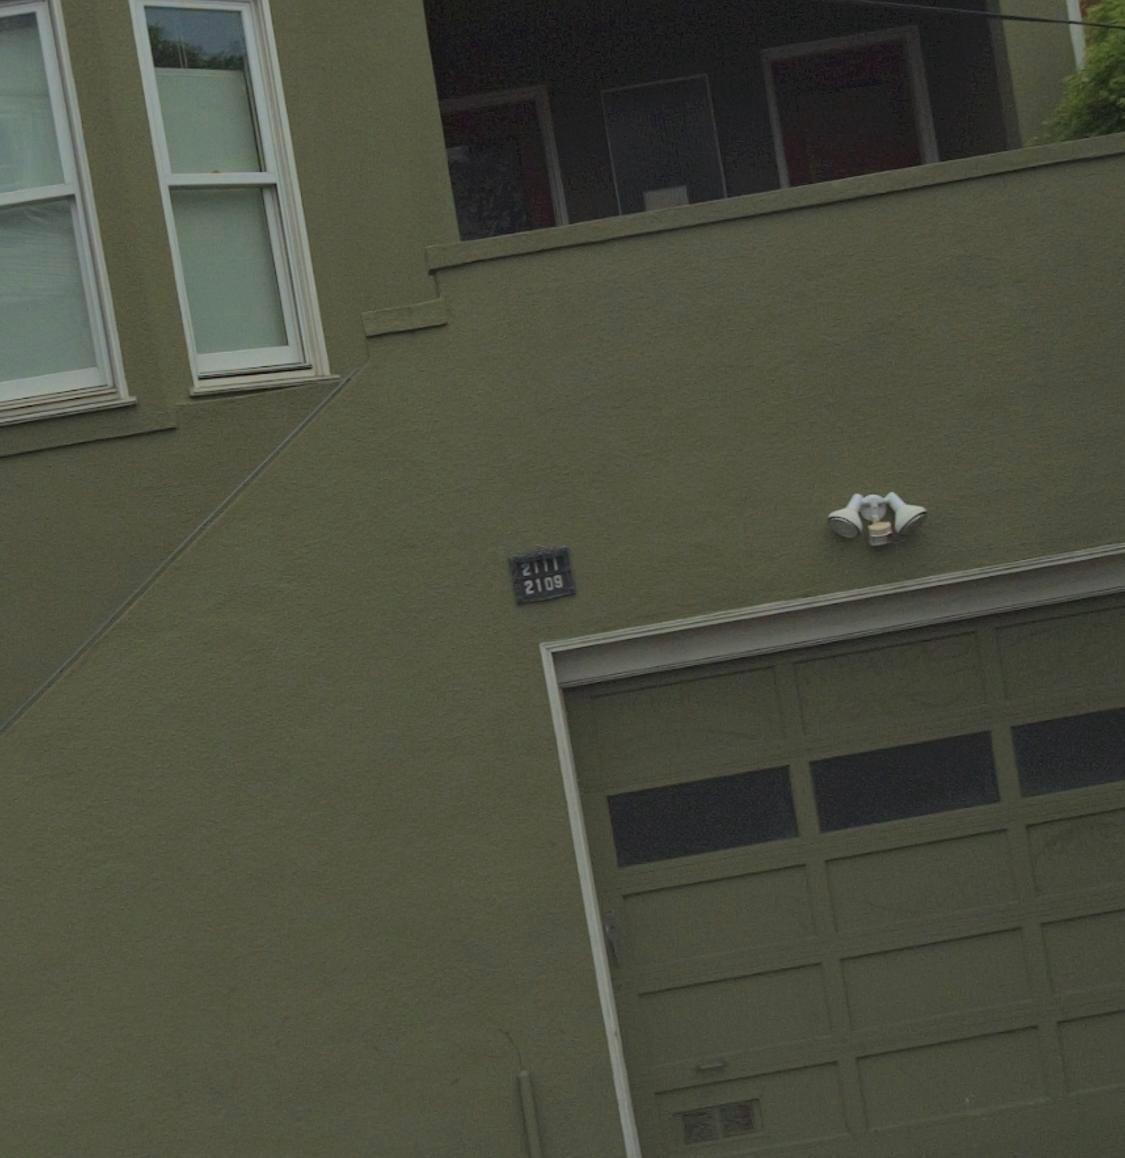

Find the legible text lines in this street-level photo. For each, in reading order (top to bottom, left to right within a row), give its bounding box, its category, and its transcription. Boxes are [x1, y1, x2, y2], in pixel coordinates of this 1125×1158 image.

[520, 556, 561, 578] StreetNumber: 2111
[523, 573, 564, 597] StreetNumber: 2109